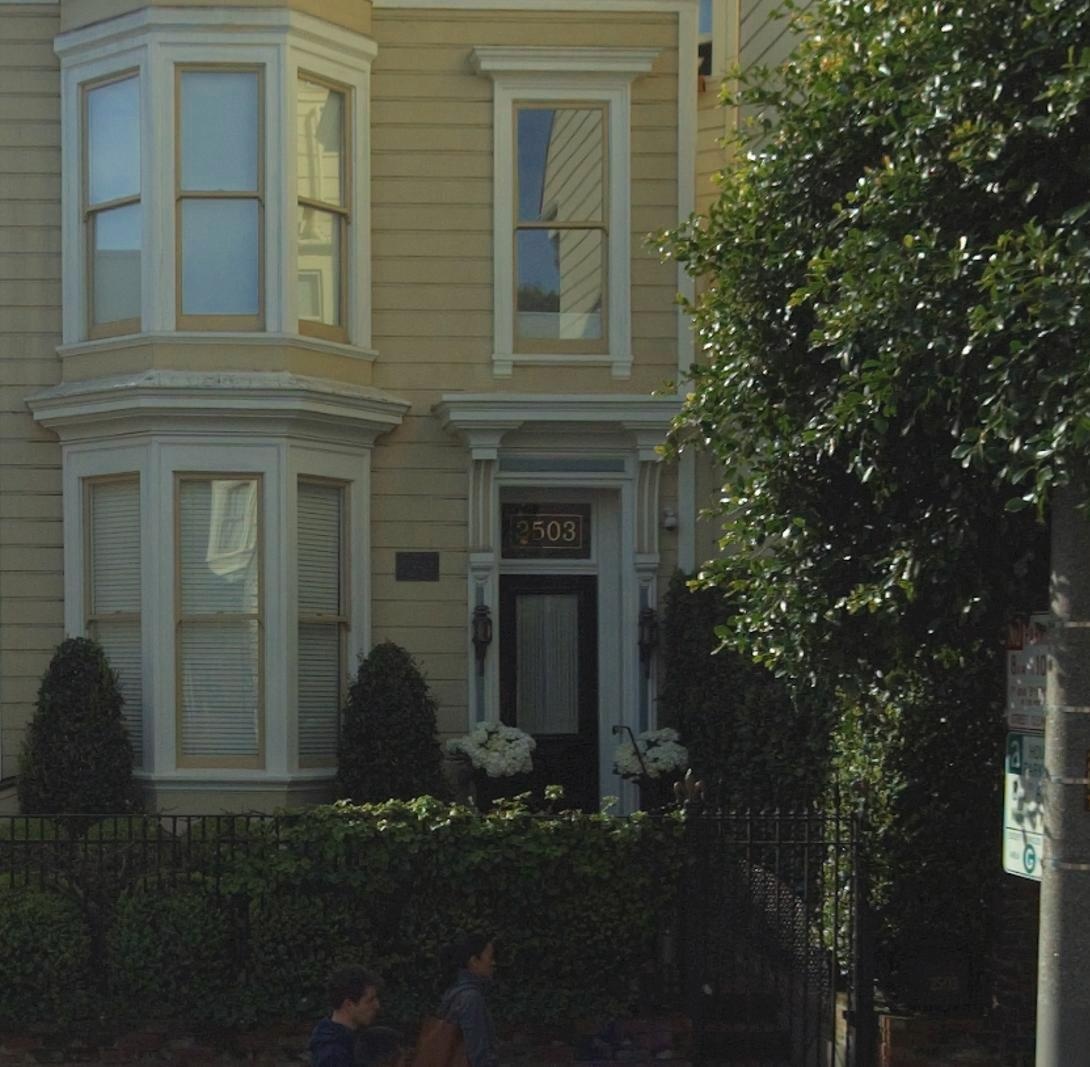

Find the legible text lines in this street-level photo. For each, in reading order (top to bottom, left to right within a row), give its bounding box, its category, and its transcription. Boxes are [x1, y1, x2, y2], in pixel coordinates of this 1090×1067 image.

[513, 517, 578, 544] StreetNumber: 2503